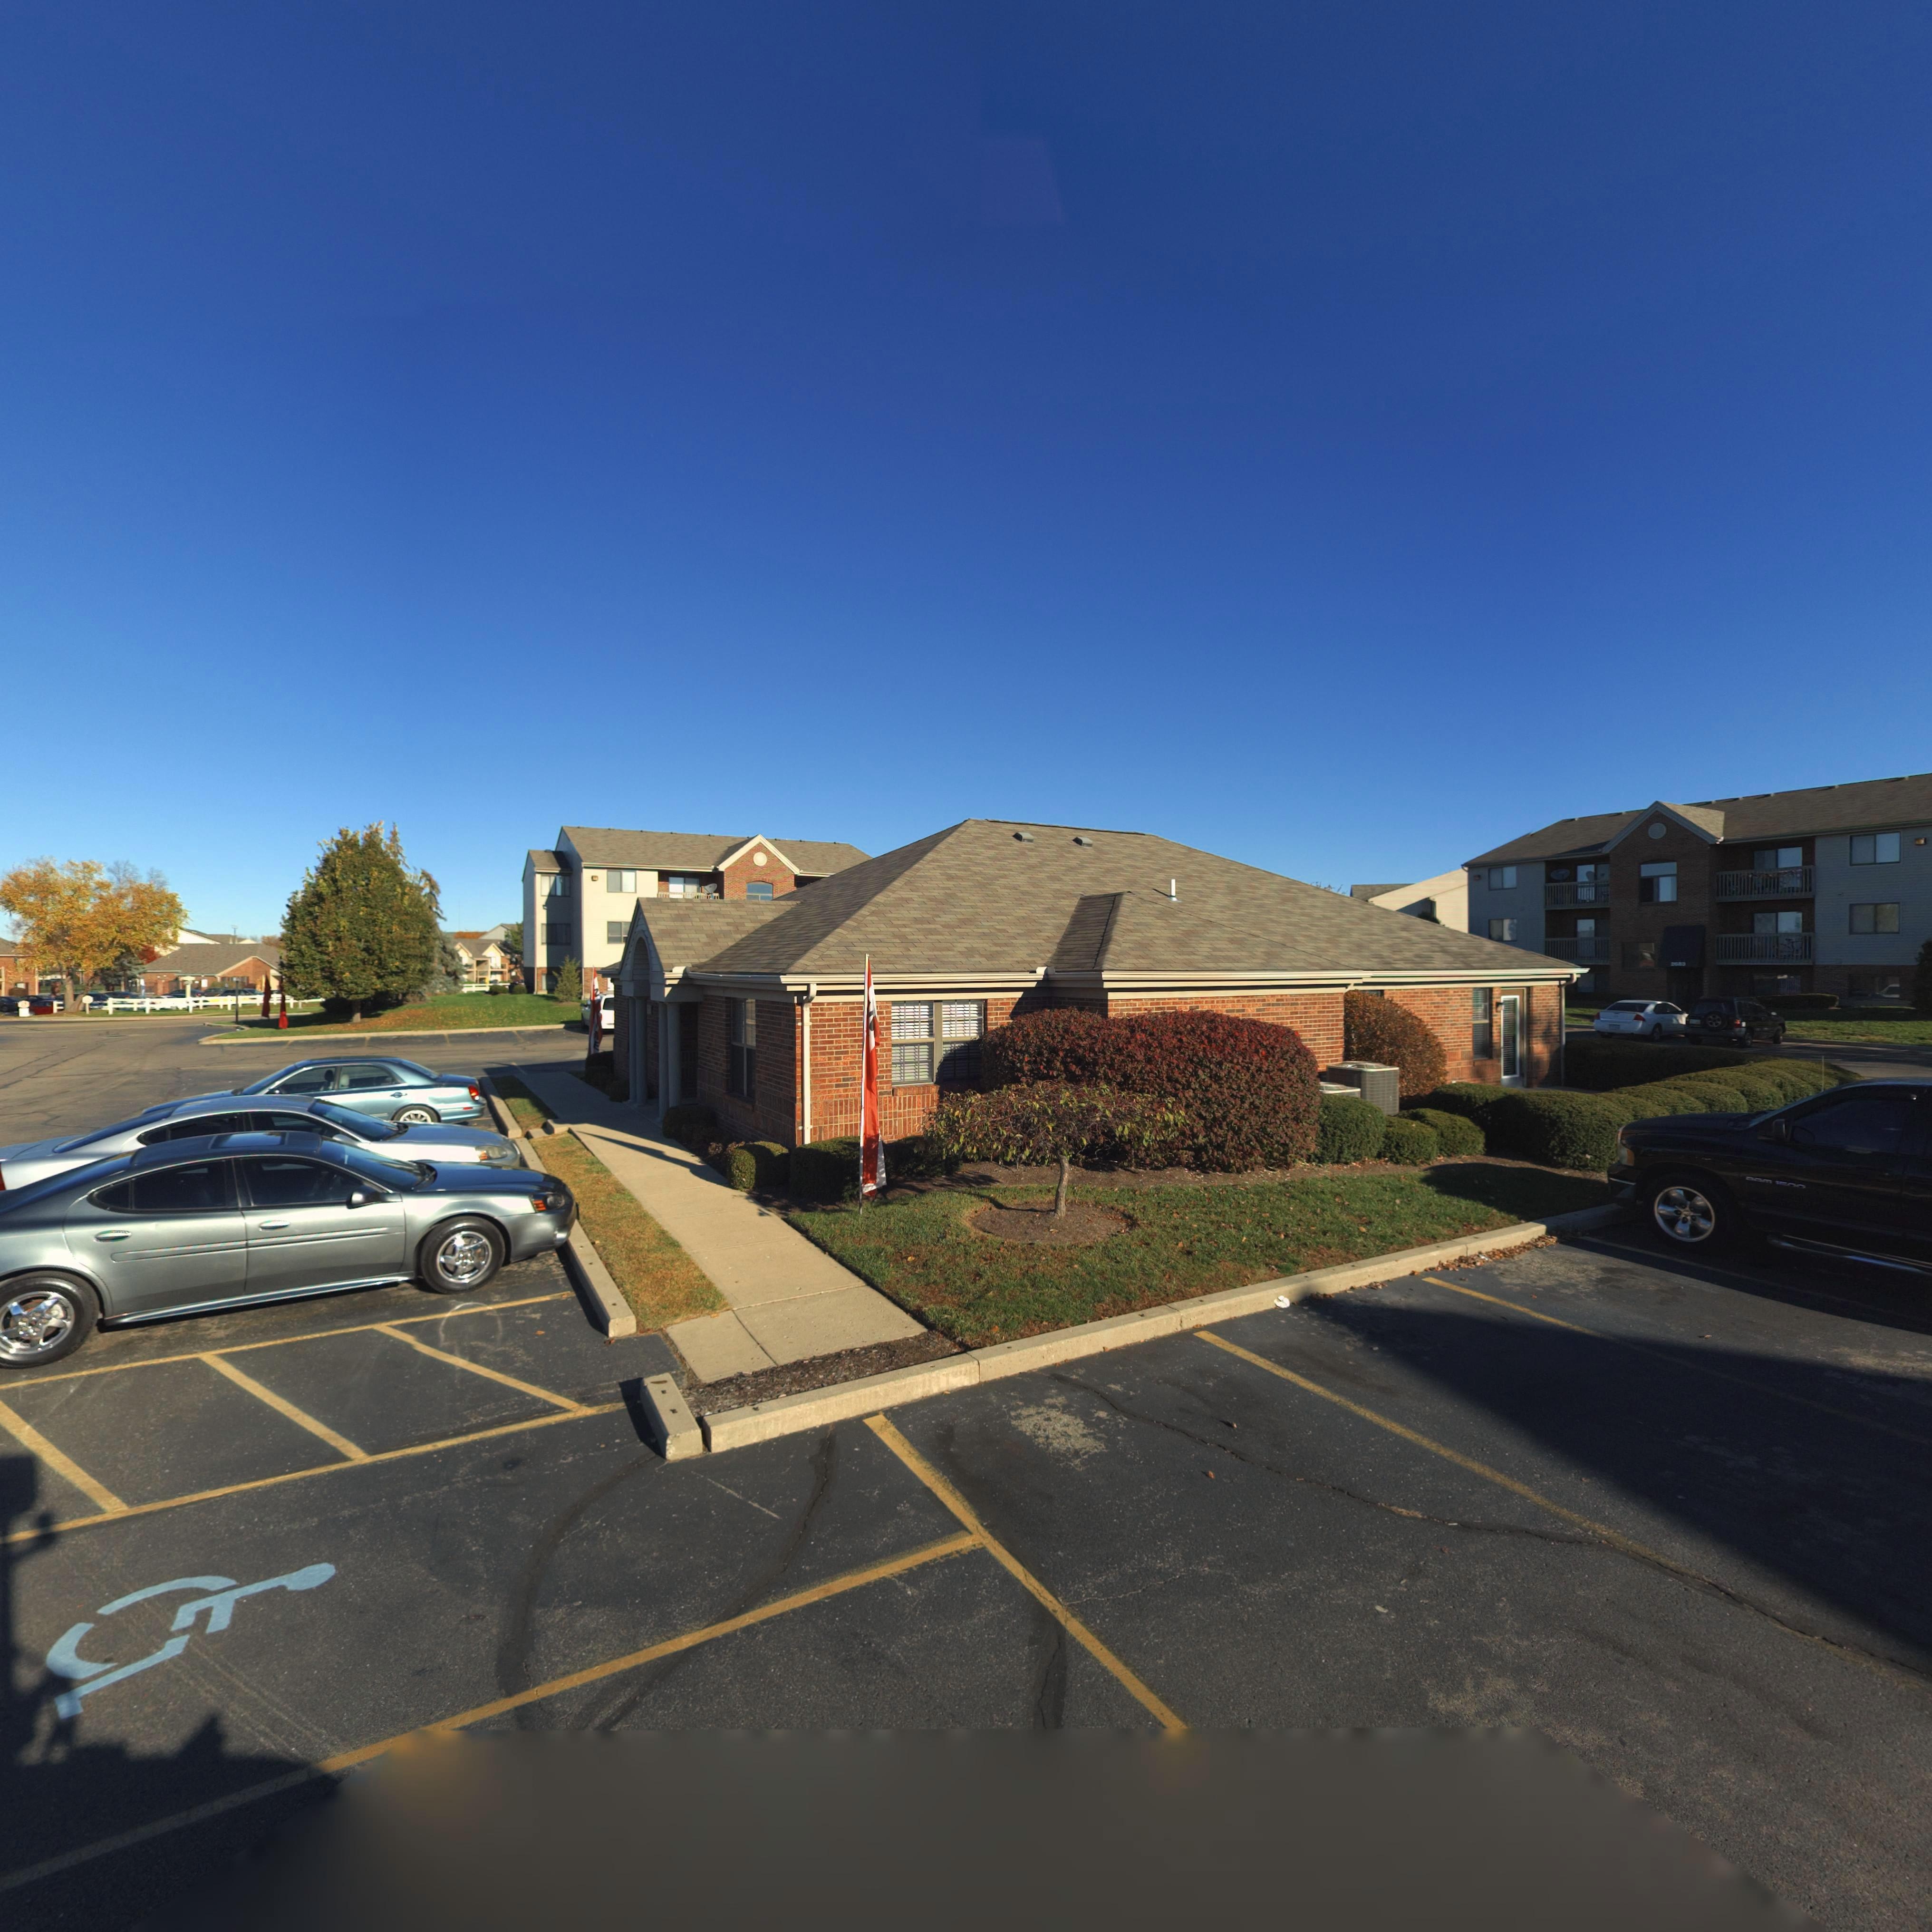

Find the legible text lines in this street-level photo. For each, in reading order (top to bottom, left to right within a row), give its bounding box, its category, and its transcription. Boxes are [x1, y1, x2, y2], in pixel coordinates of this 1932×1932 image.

[1671, 962, 1686, 966] StreetNumber: 26*3